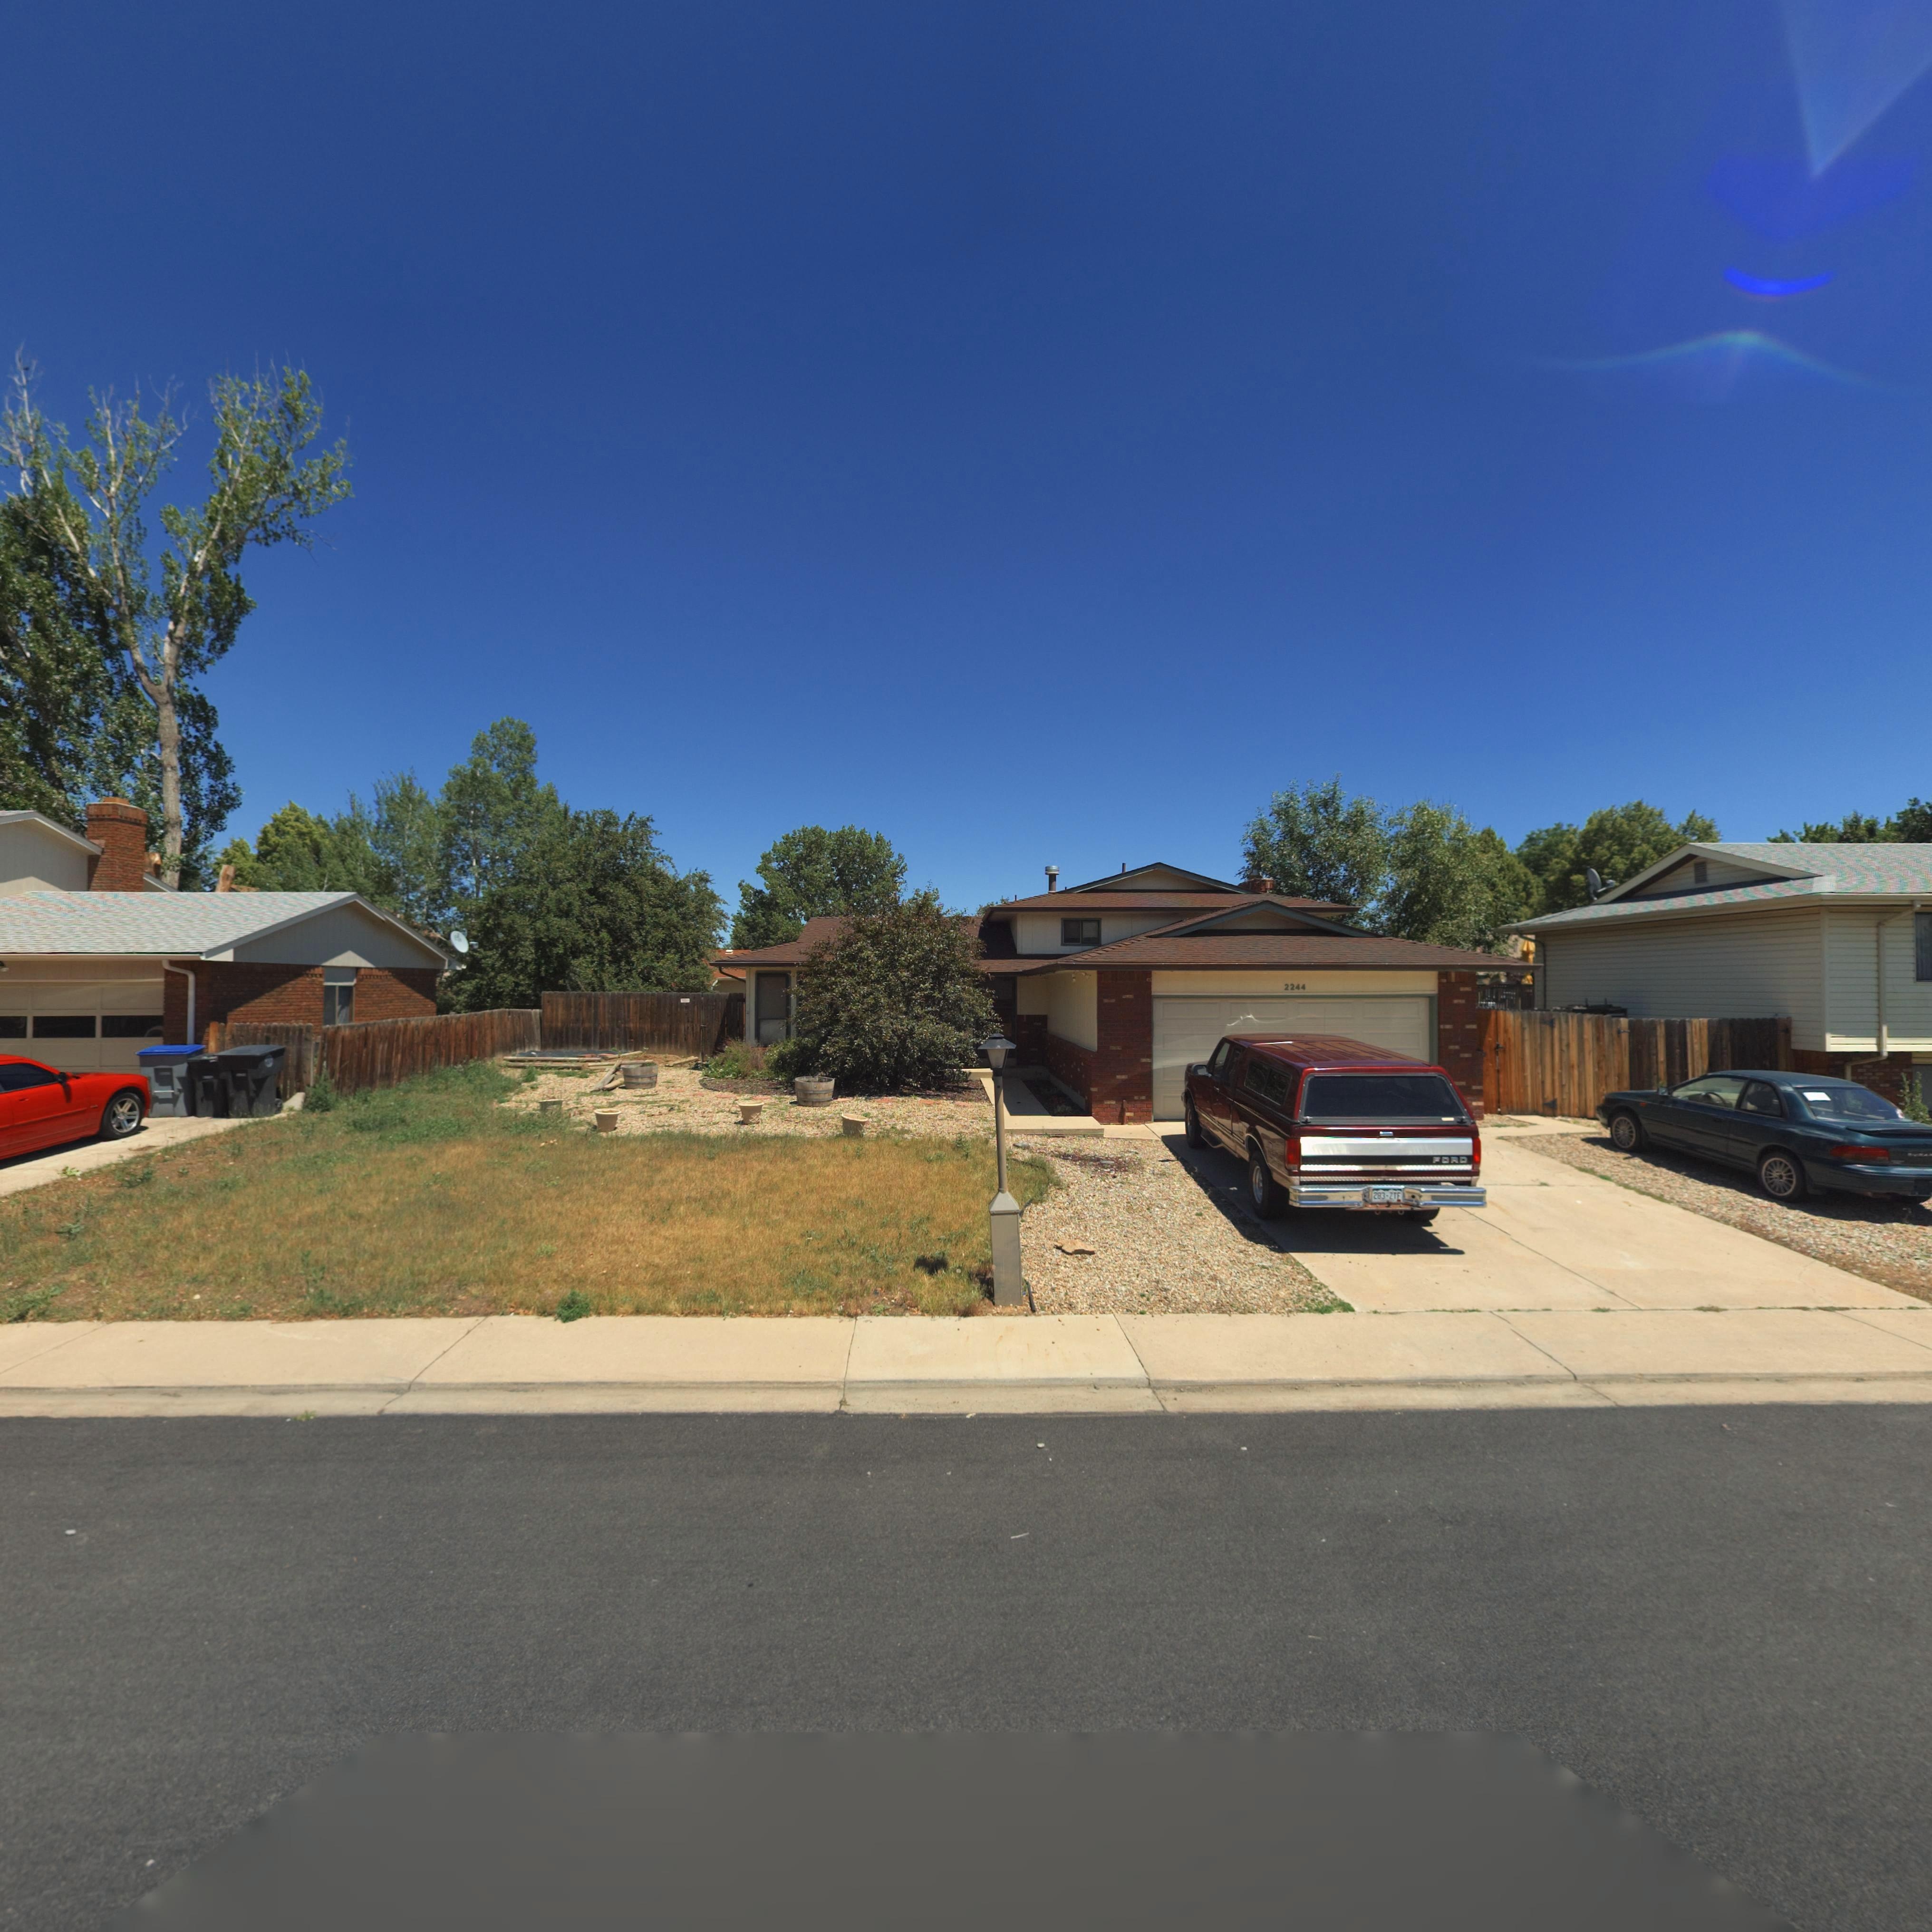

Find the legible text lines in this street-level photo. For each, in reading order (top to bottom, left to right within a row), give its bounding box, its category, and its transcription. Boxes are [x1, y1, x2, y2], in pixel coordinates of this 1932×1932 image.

[1284, 983, 1306, 990] StreetNumber: 2244